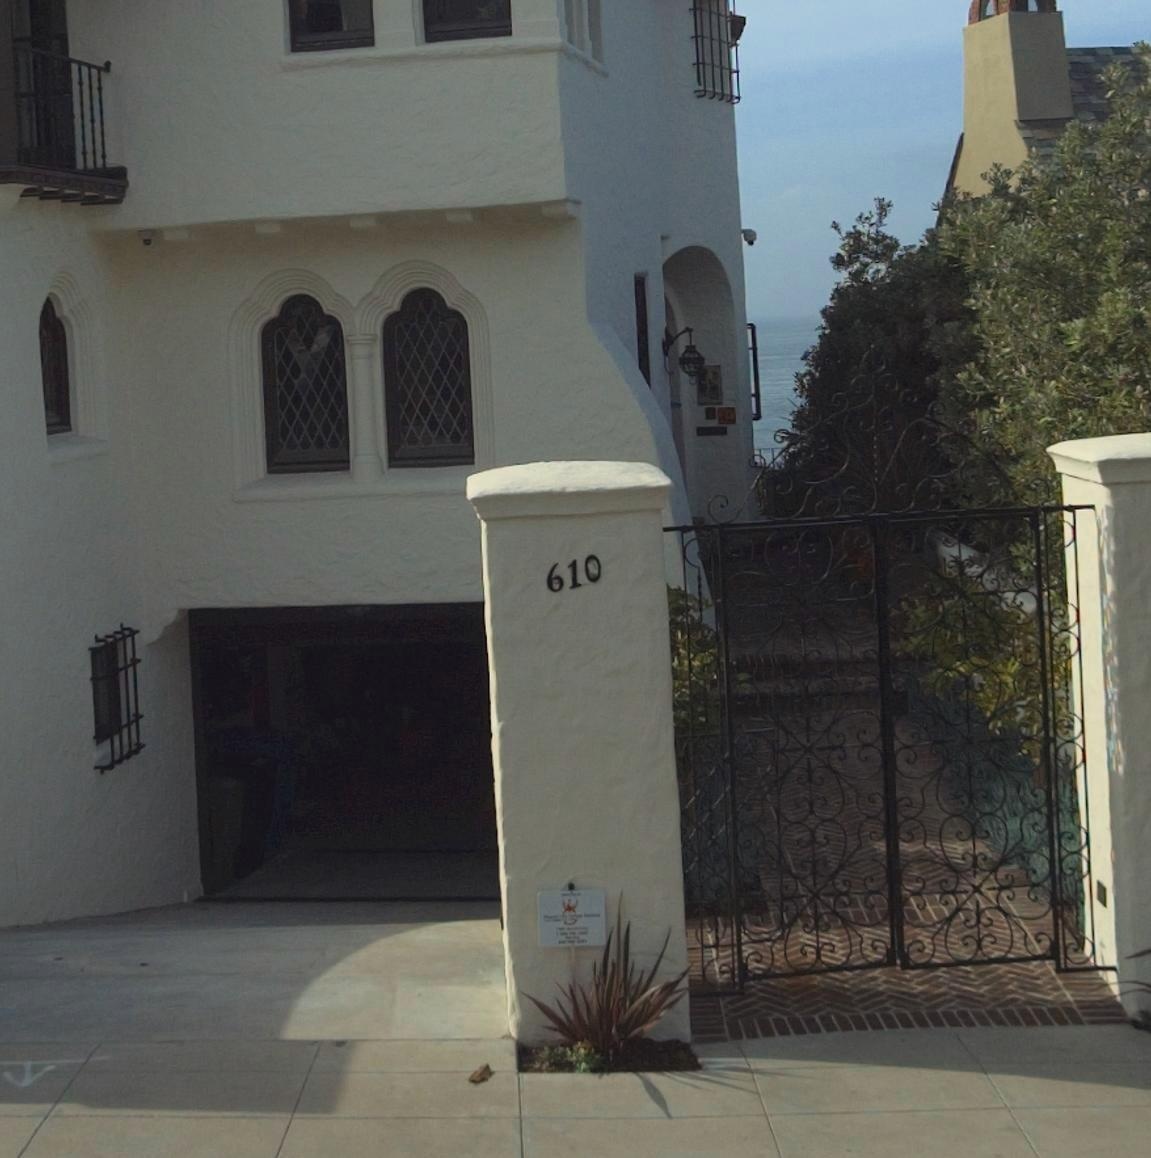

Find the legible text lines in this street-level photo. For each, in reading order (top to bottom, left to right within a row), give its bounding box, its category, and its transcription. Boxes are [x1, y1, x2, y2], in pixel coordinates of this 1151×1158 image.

[545, 551, 604, 596] StreetNumber: 610